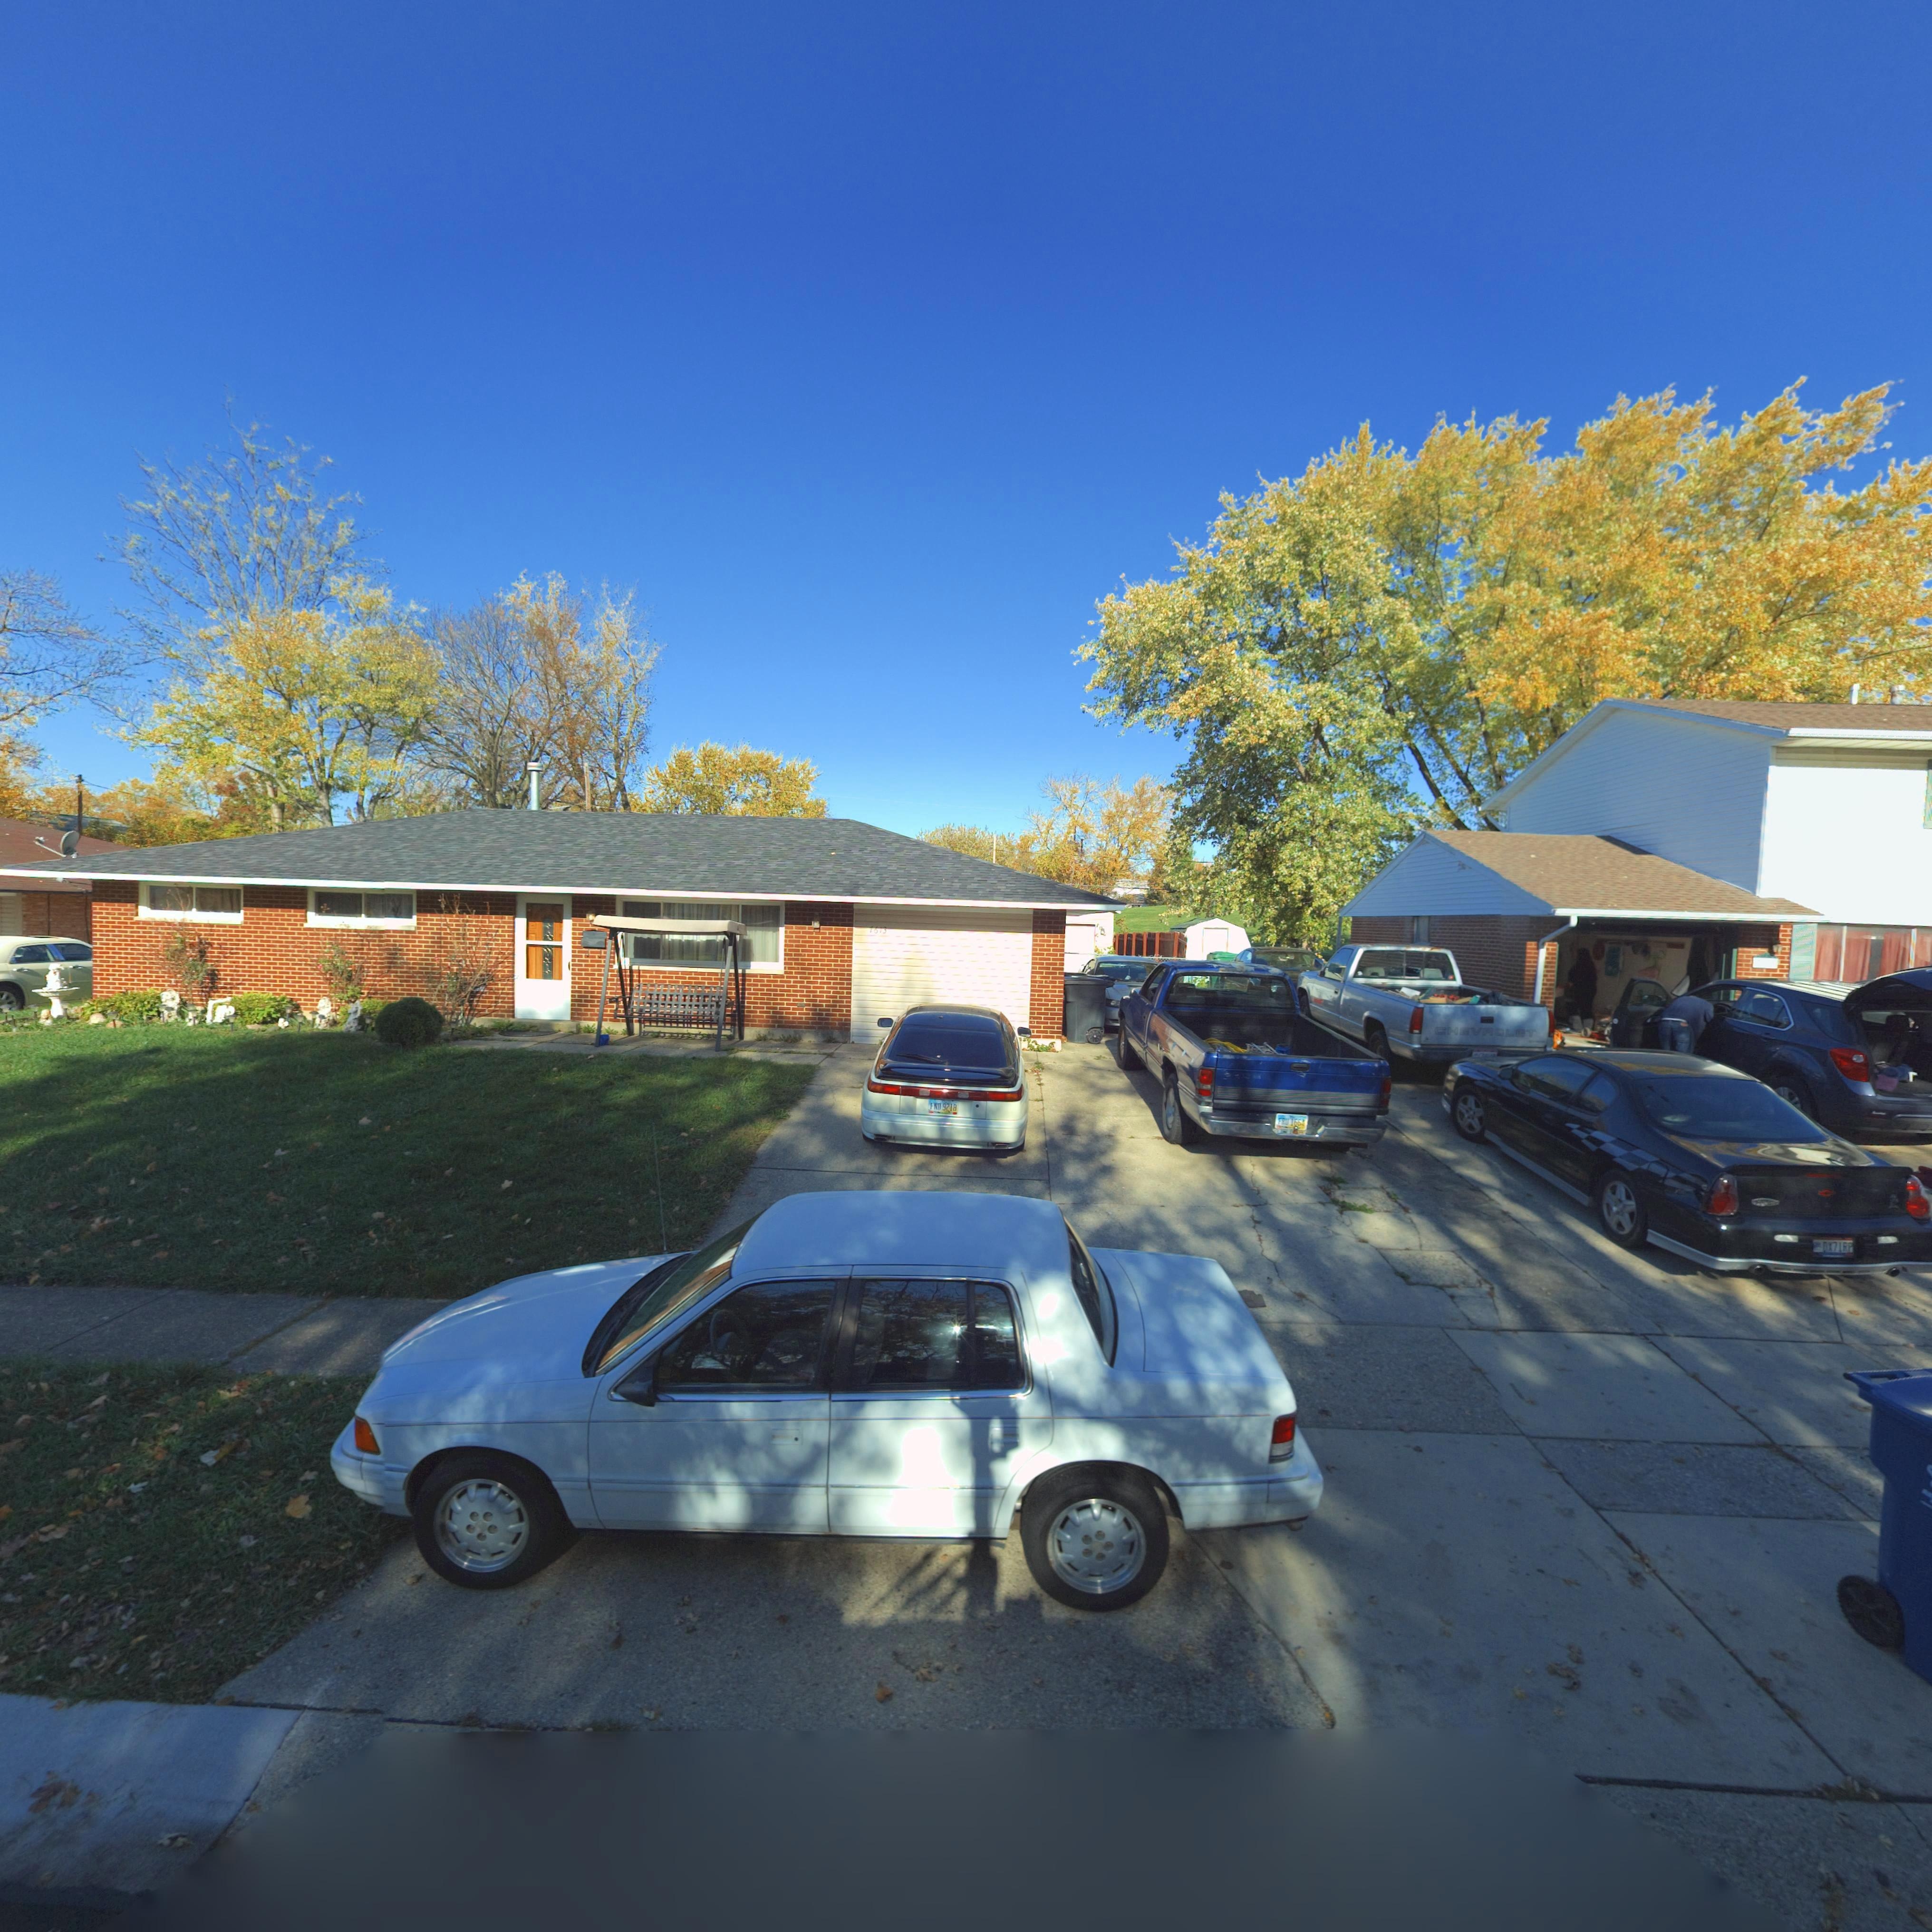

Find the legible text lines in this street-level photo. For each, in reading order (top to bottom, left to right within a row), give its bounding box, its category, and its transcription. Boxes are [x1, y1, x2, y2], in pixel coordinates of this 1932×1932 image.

[868, 925, 888, 935] StreetNumber: 7613